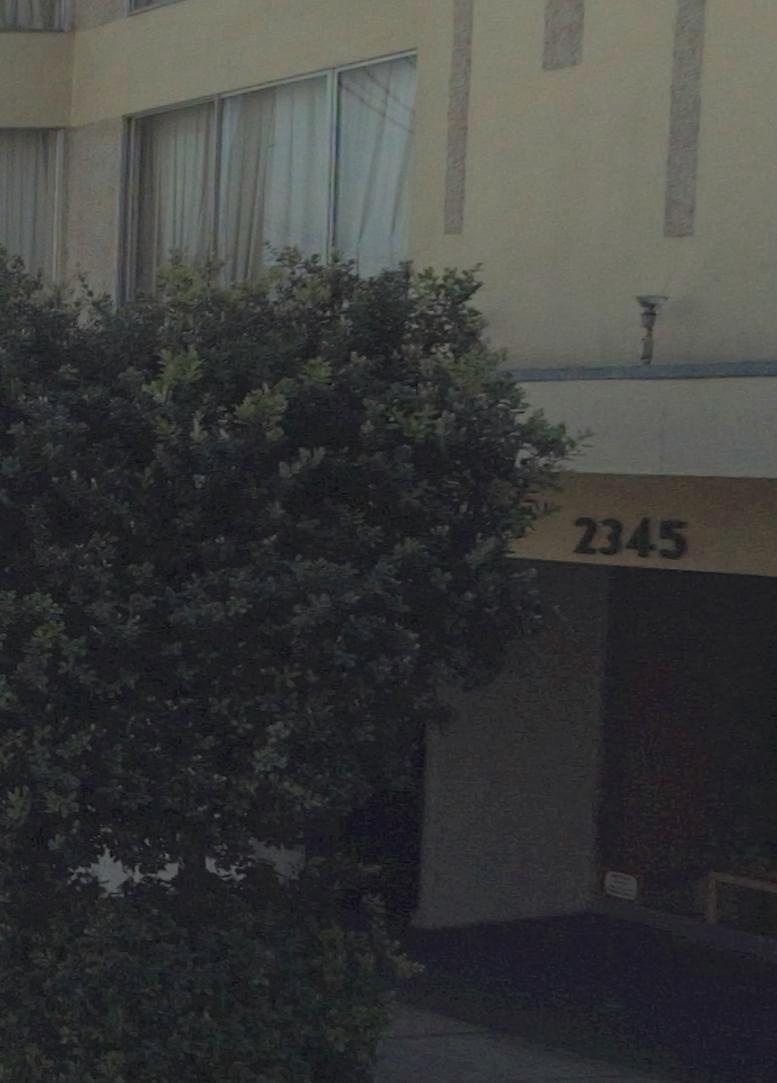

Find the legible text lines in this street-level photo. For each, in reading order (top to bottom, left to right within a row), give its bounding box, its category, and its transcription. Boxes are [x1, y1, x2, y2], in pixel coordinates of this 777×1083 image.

[569, 514, 690, 563] StreetNumber: 2345